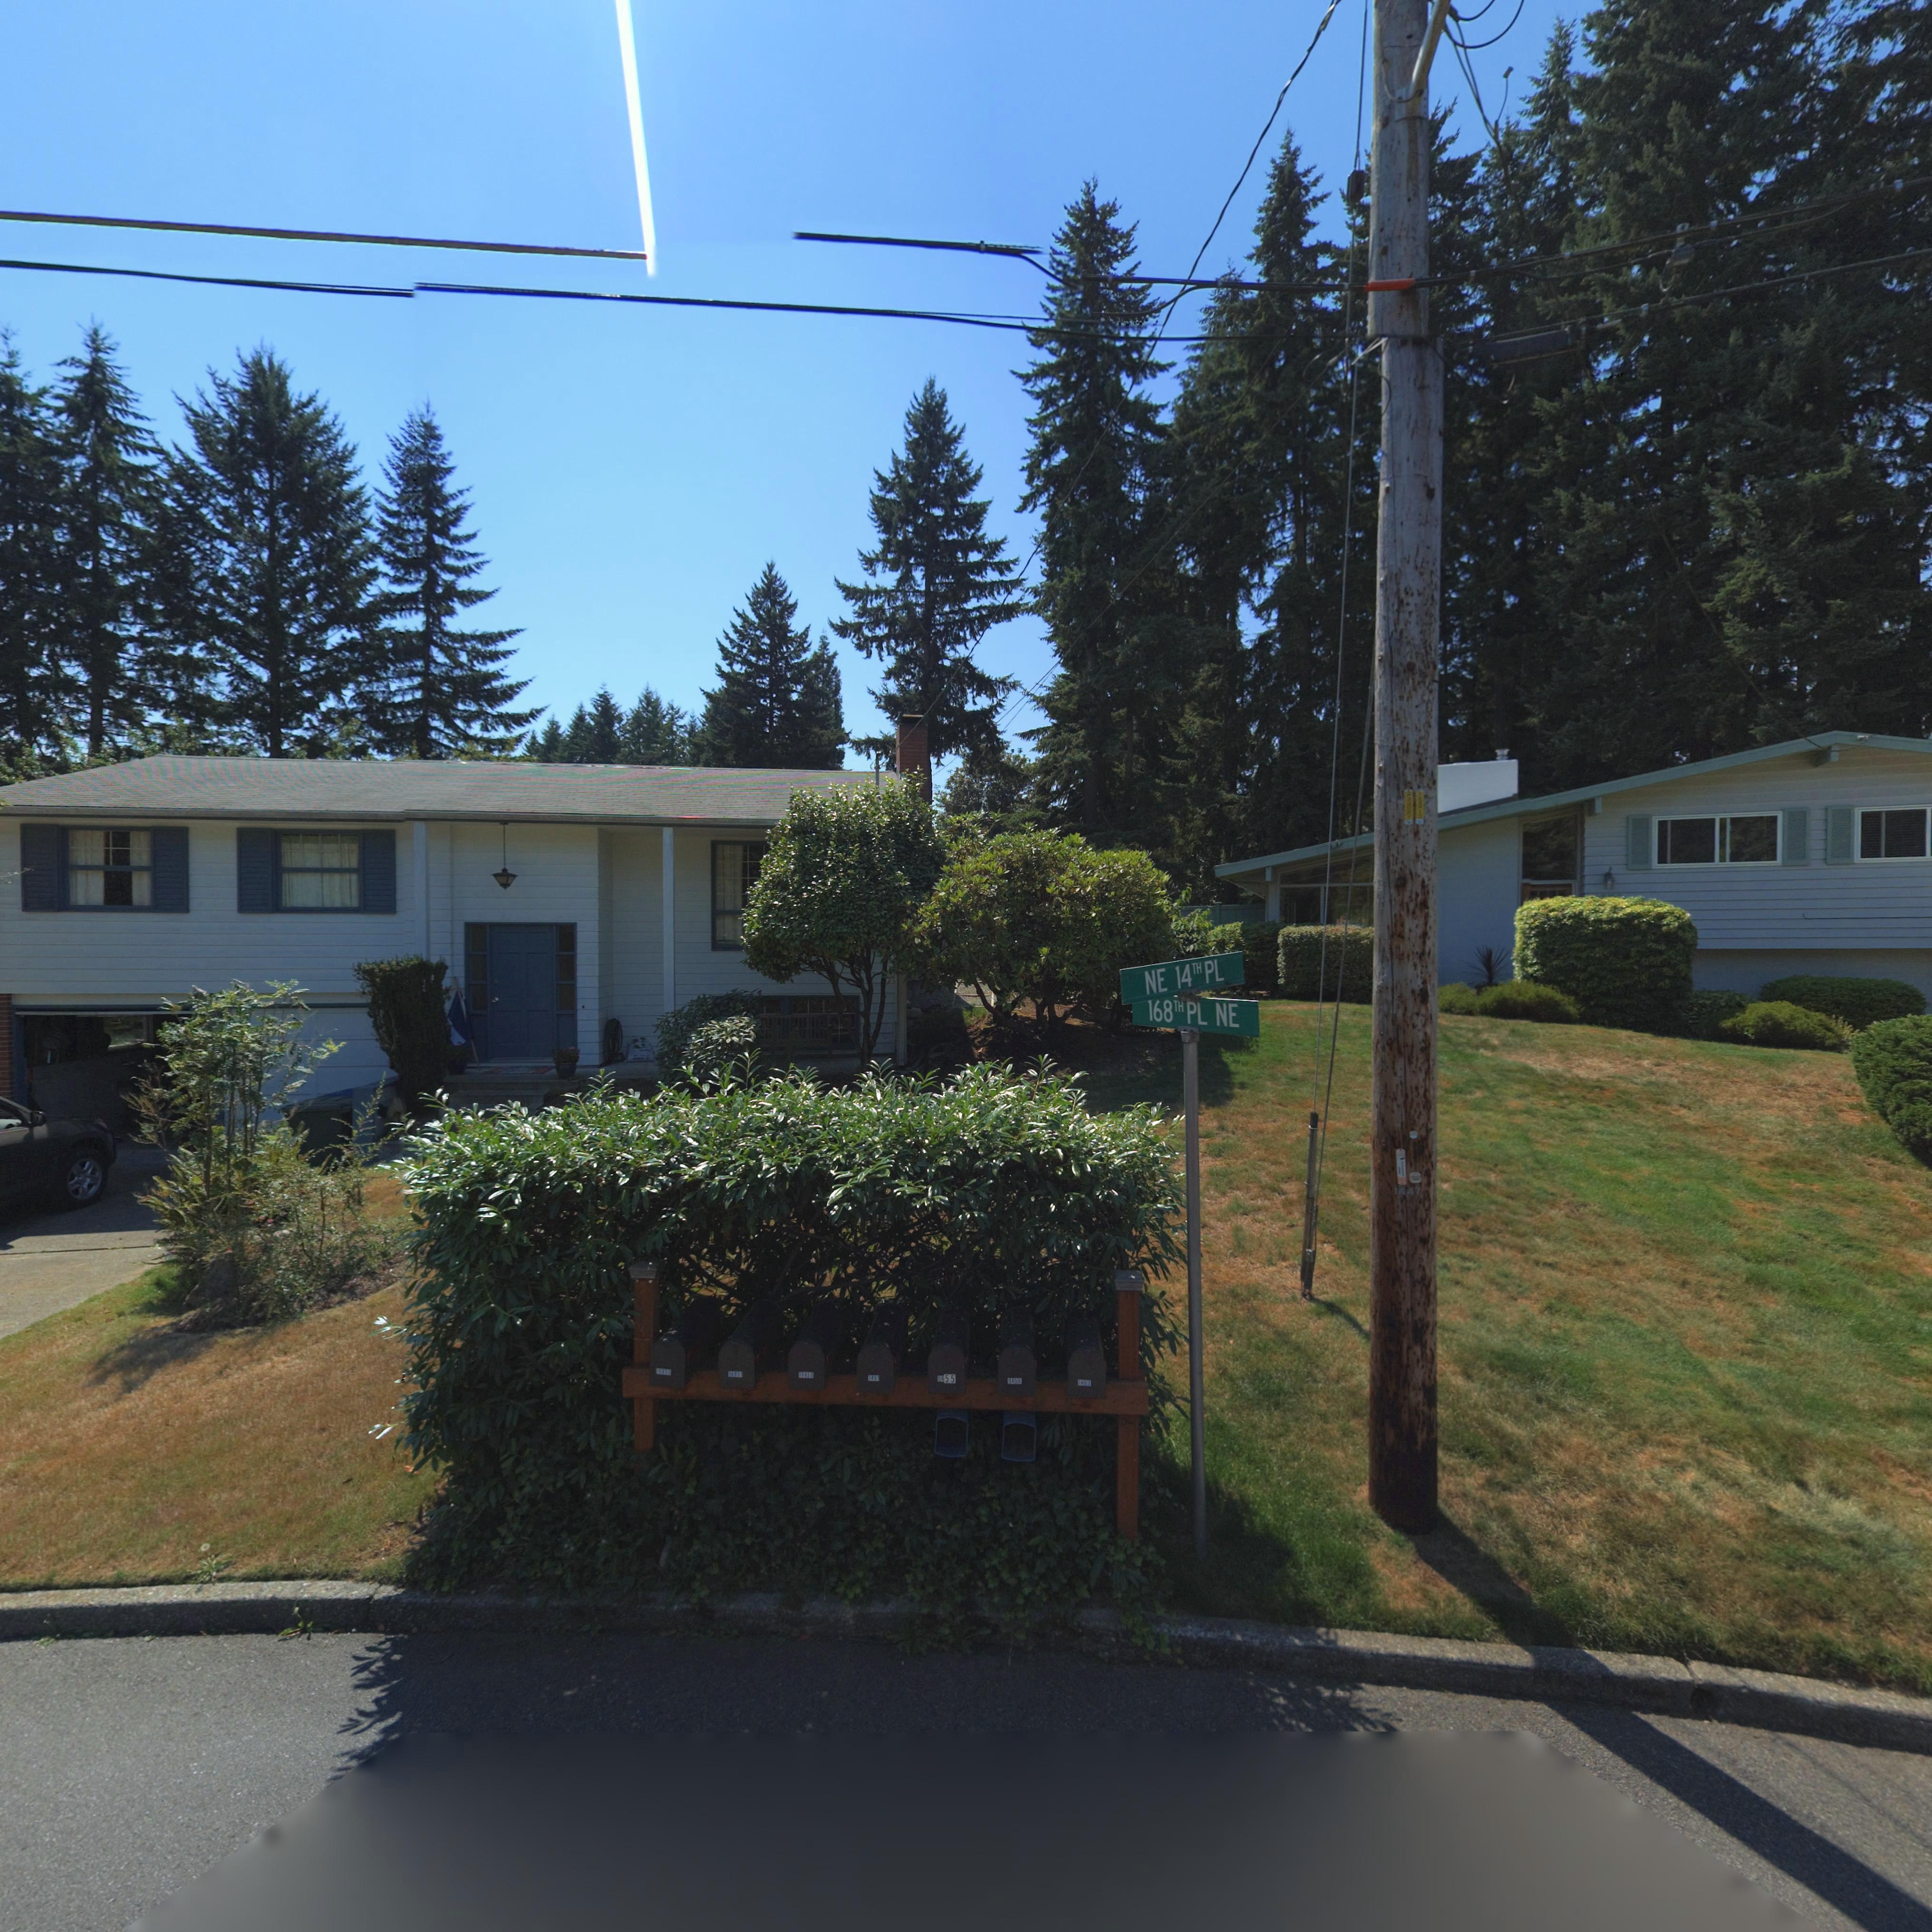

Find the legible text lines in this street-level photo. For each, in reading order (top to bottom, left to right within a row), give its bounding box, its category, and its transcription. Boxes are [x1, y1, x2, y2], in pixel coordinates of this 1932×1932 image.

[1142, 957, 1225, 995] StreetName: NE 14TH PL
[1147, 998, 1239, 1028] StreetName: 168TH PL NE
[944, 1373, 955, 1383] StreetNumber: 55